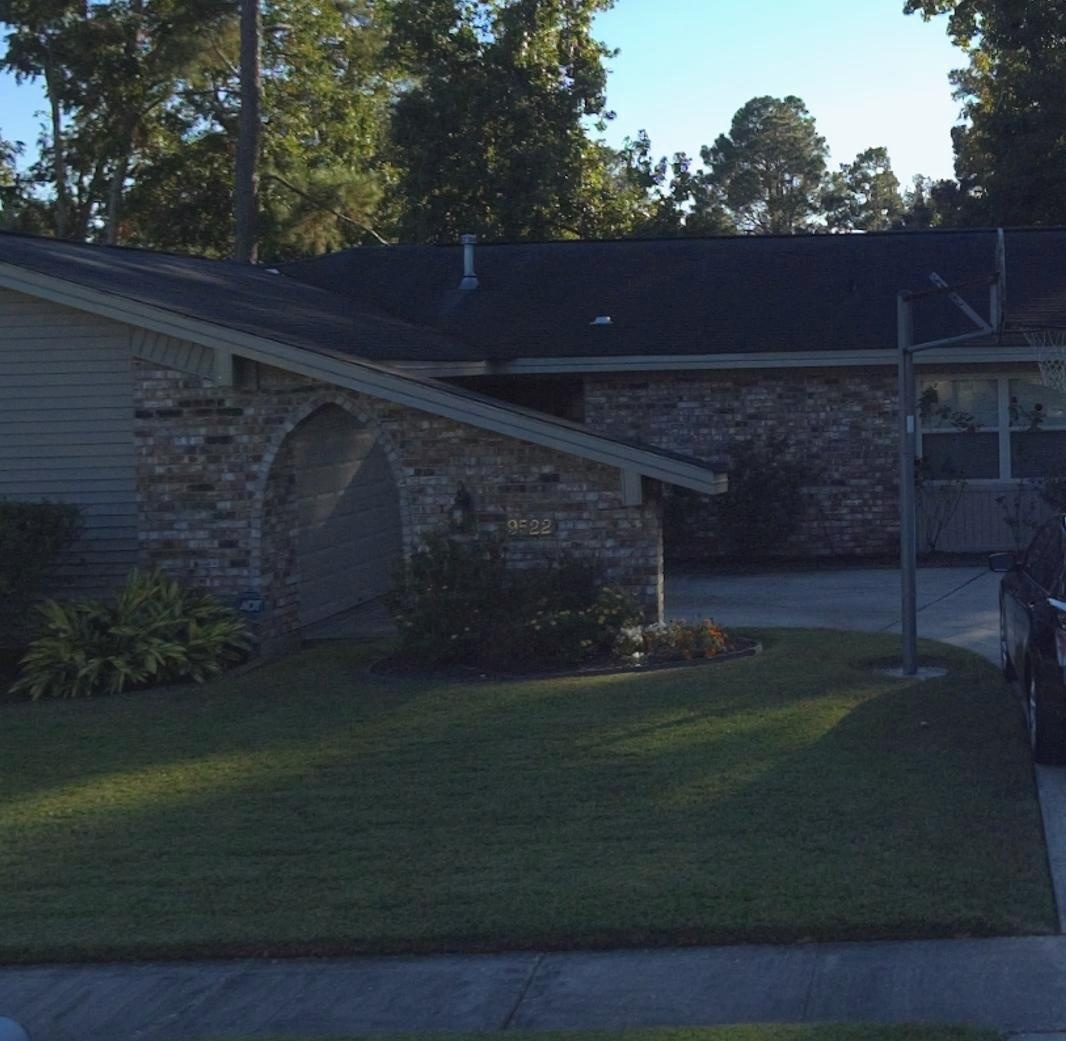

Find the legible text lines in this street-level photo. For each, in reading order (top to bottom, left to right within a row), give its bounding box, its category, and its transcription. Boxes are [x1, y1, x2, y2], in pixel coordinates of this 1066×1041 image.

[506, 518, 554, 536] StreetNumber: 9522
[239, 599, 263, 611] None: ADT